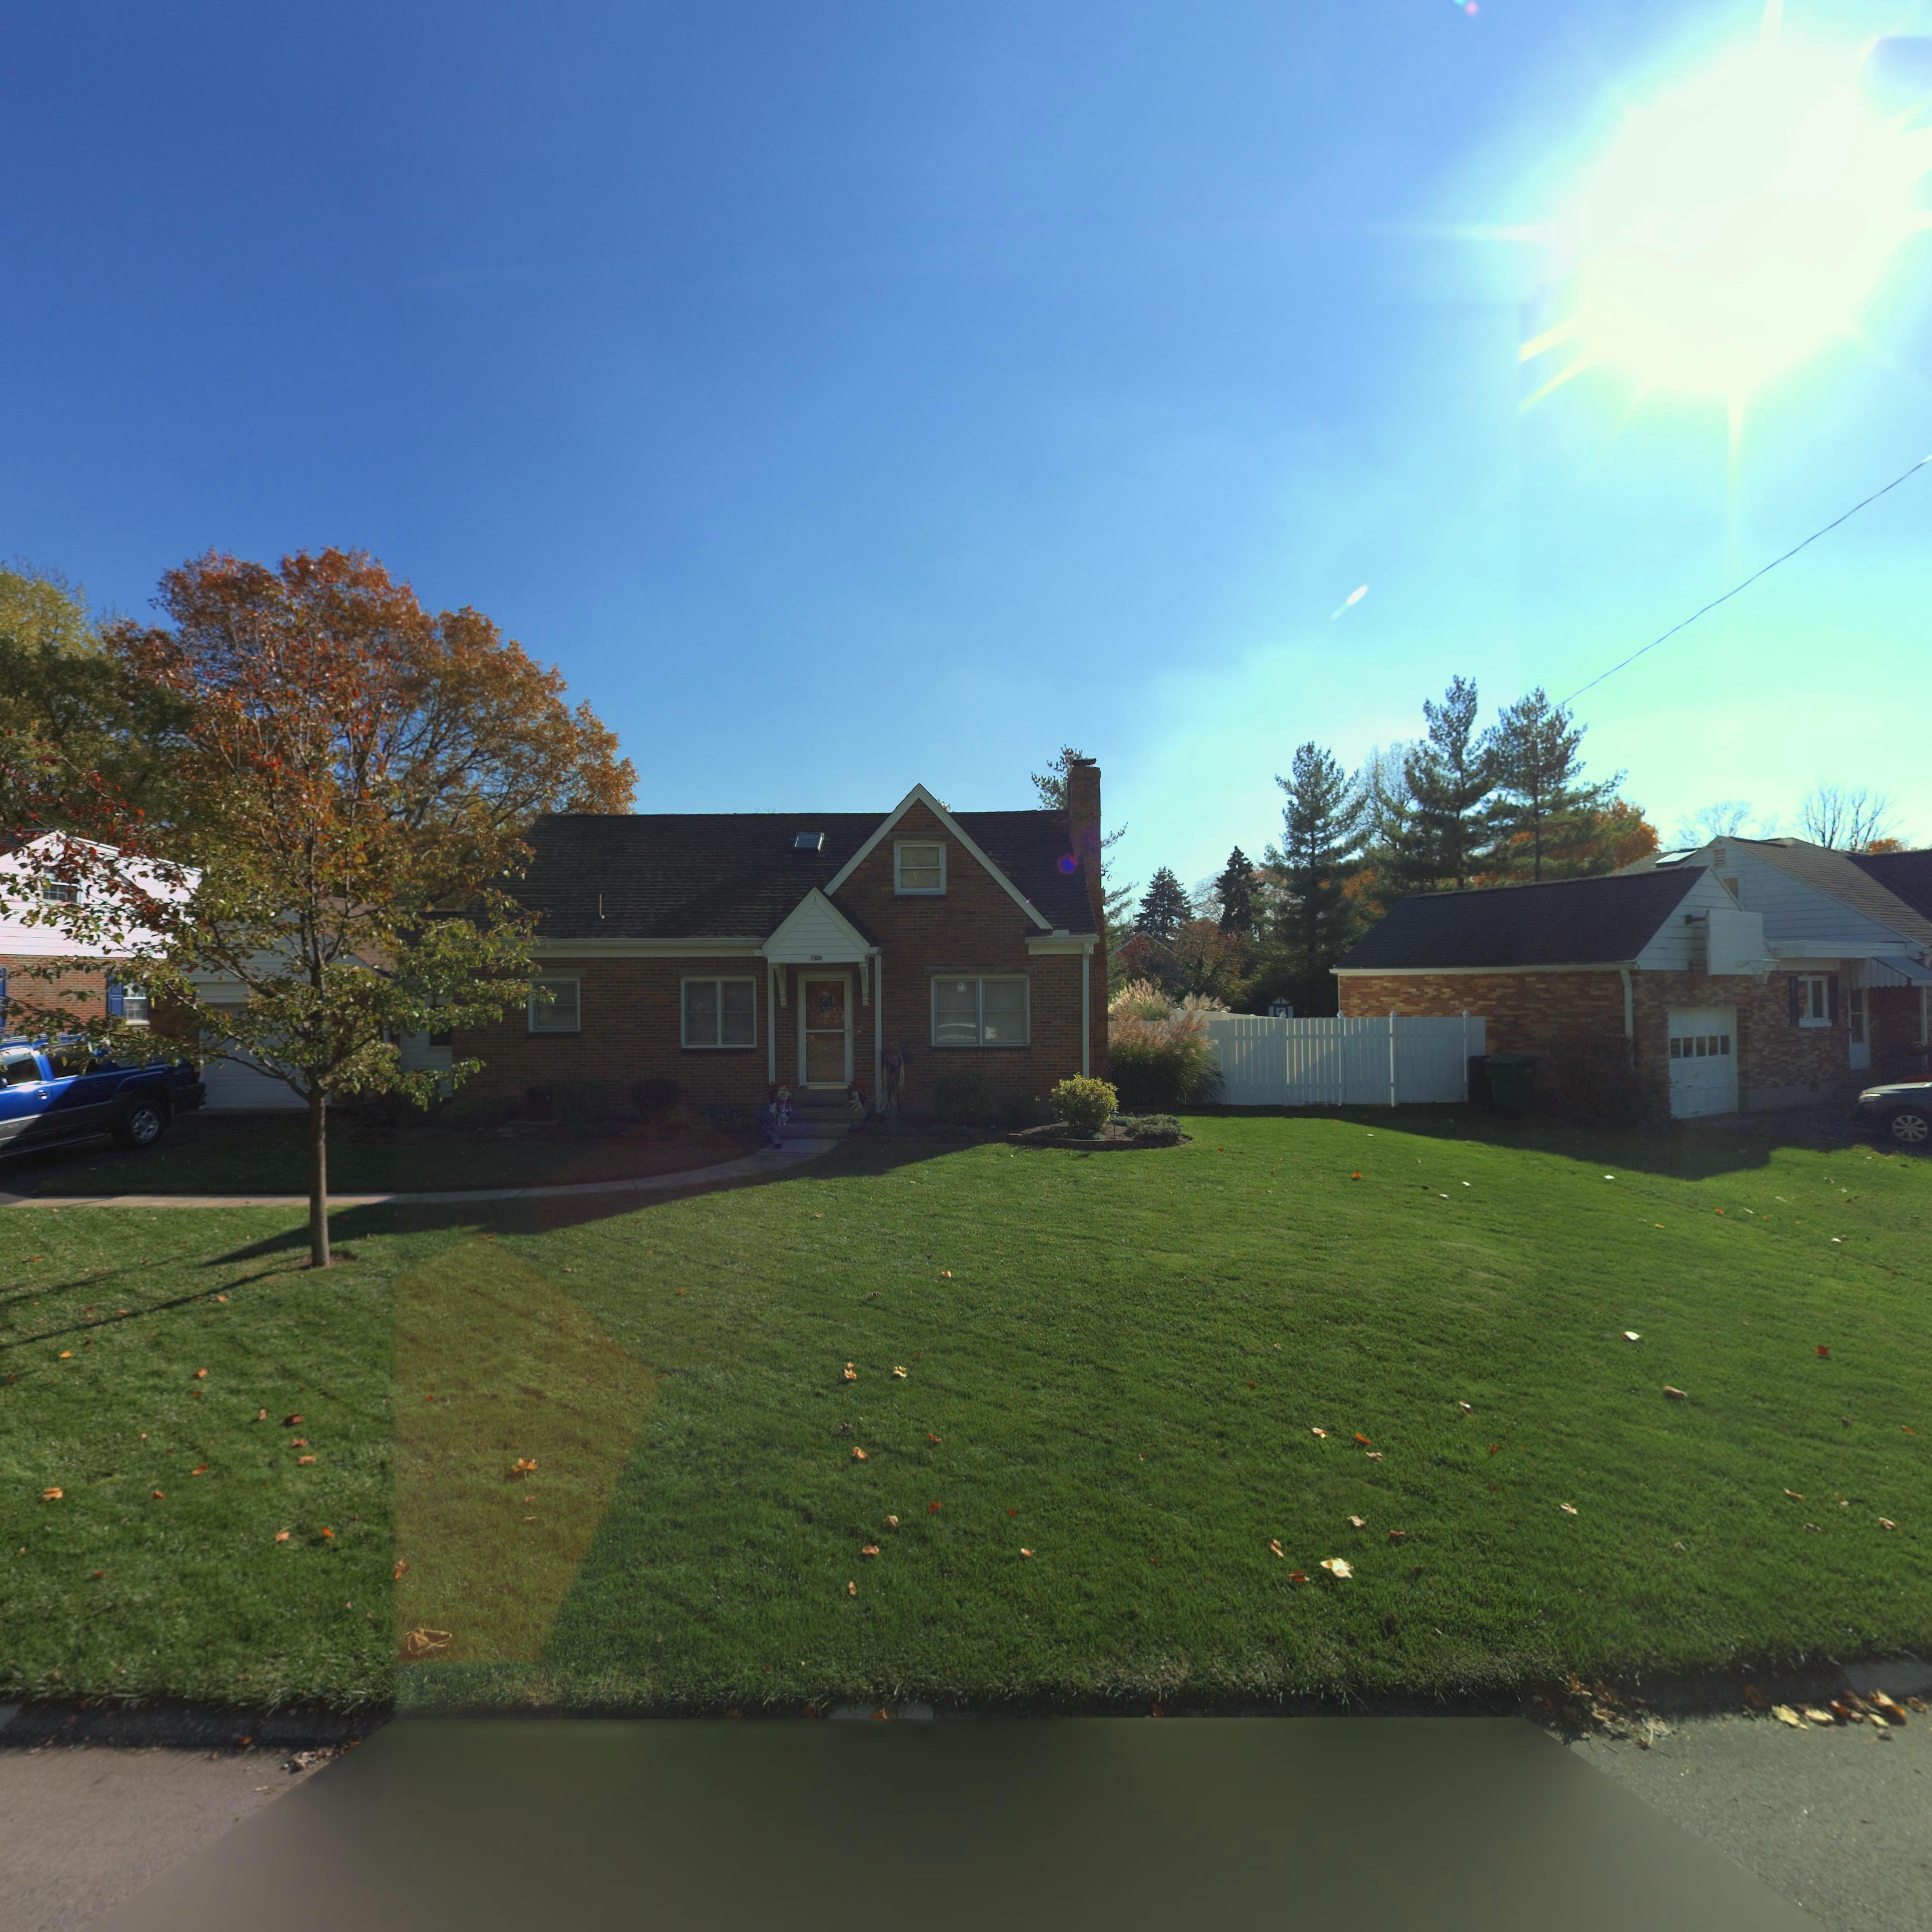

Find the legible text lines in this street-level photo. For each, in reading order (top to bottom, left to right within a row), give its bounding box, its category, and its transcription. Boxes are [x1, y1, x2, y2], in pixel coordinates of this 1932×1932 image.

[809, 954, 823, 961] StreetNumber: 70*